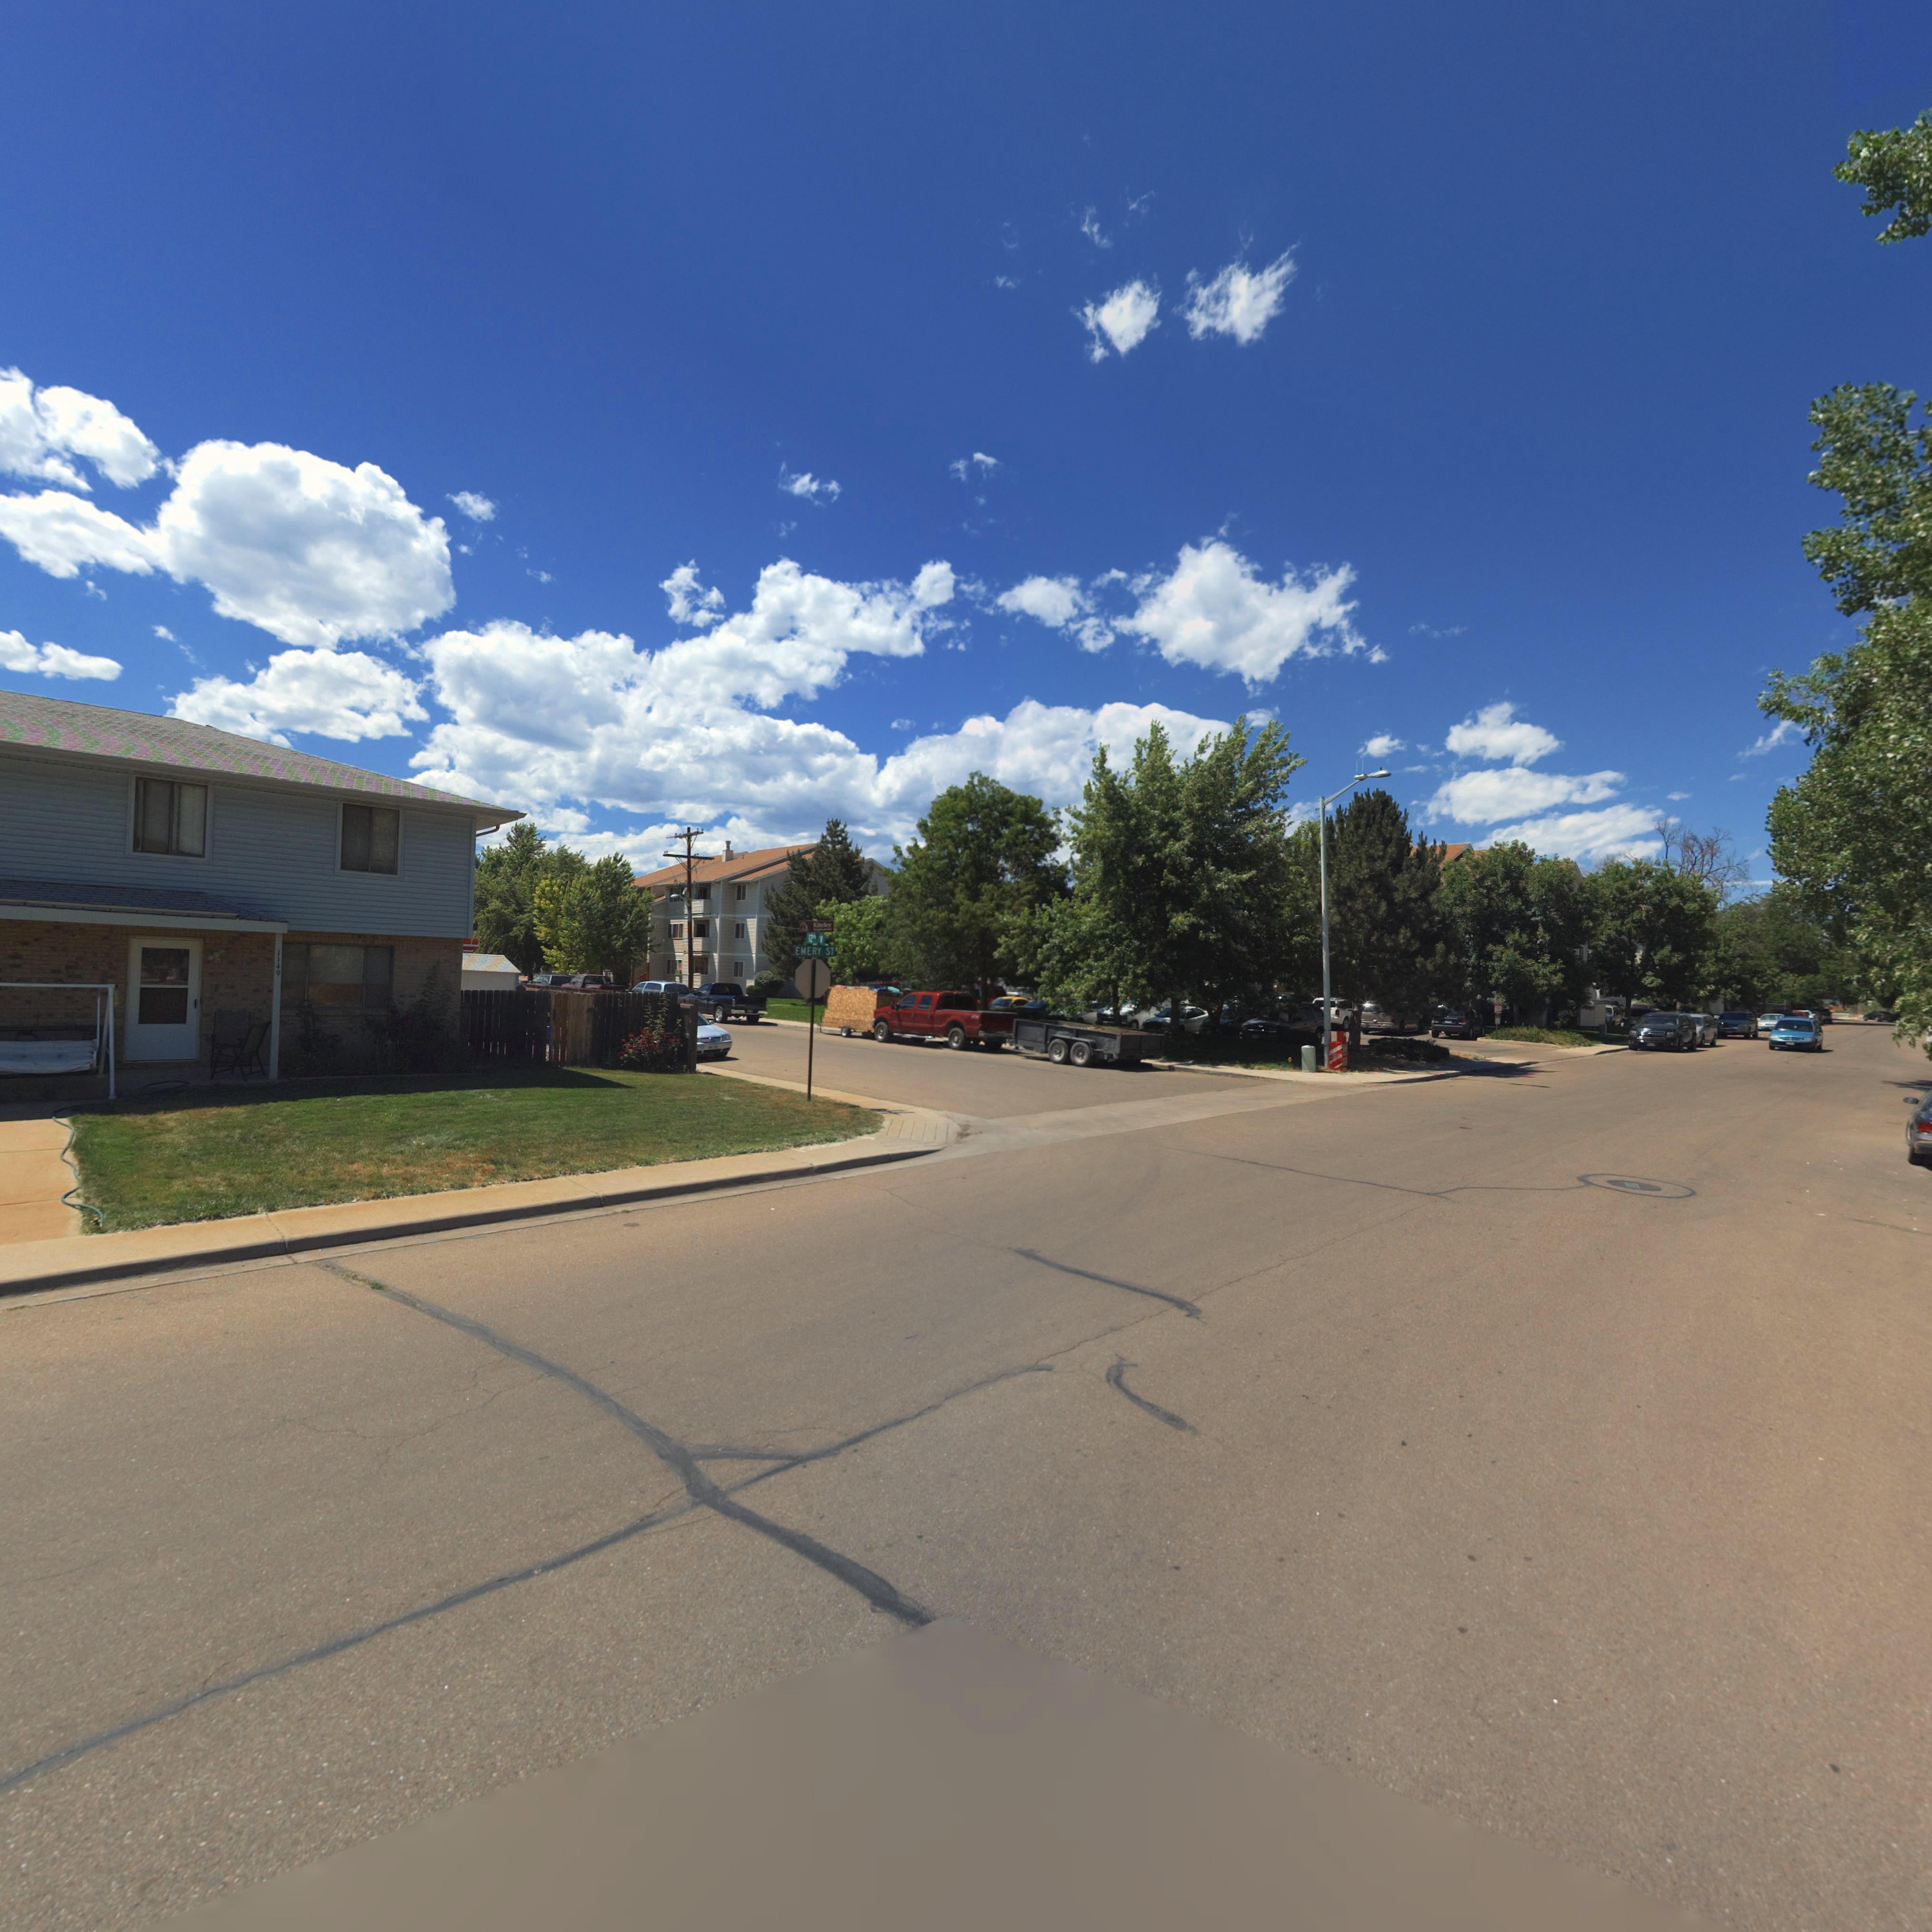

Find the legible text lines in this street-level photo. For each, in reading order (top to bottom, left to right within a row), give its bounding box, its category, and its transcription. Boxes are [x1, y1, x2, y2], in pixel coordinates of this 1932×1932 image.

[807, 934, 824, 943] StreetName: 12** *V
[795, 946, 835, 955] StreetName: EMERY ST
[276, 949, 280, 977] StreetNumber: 1149